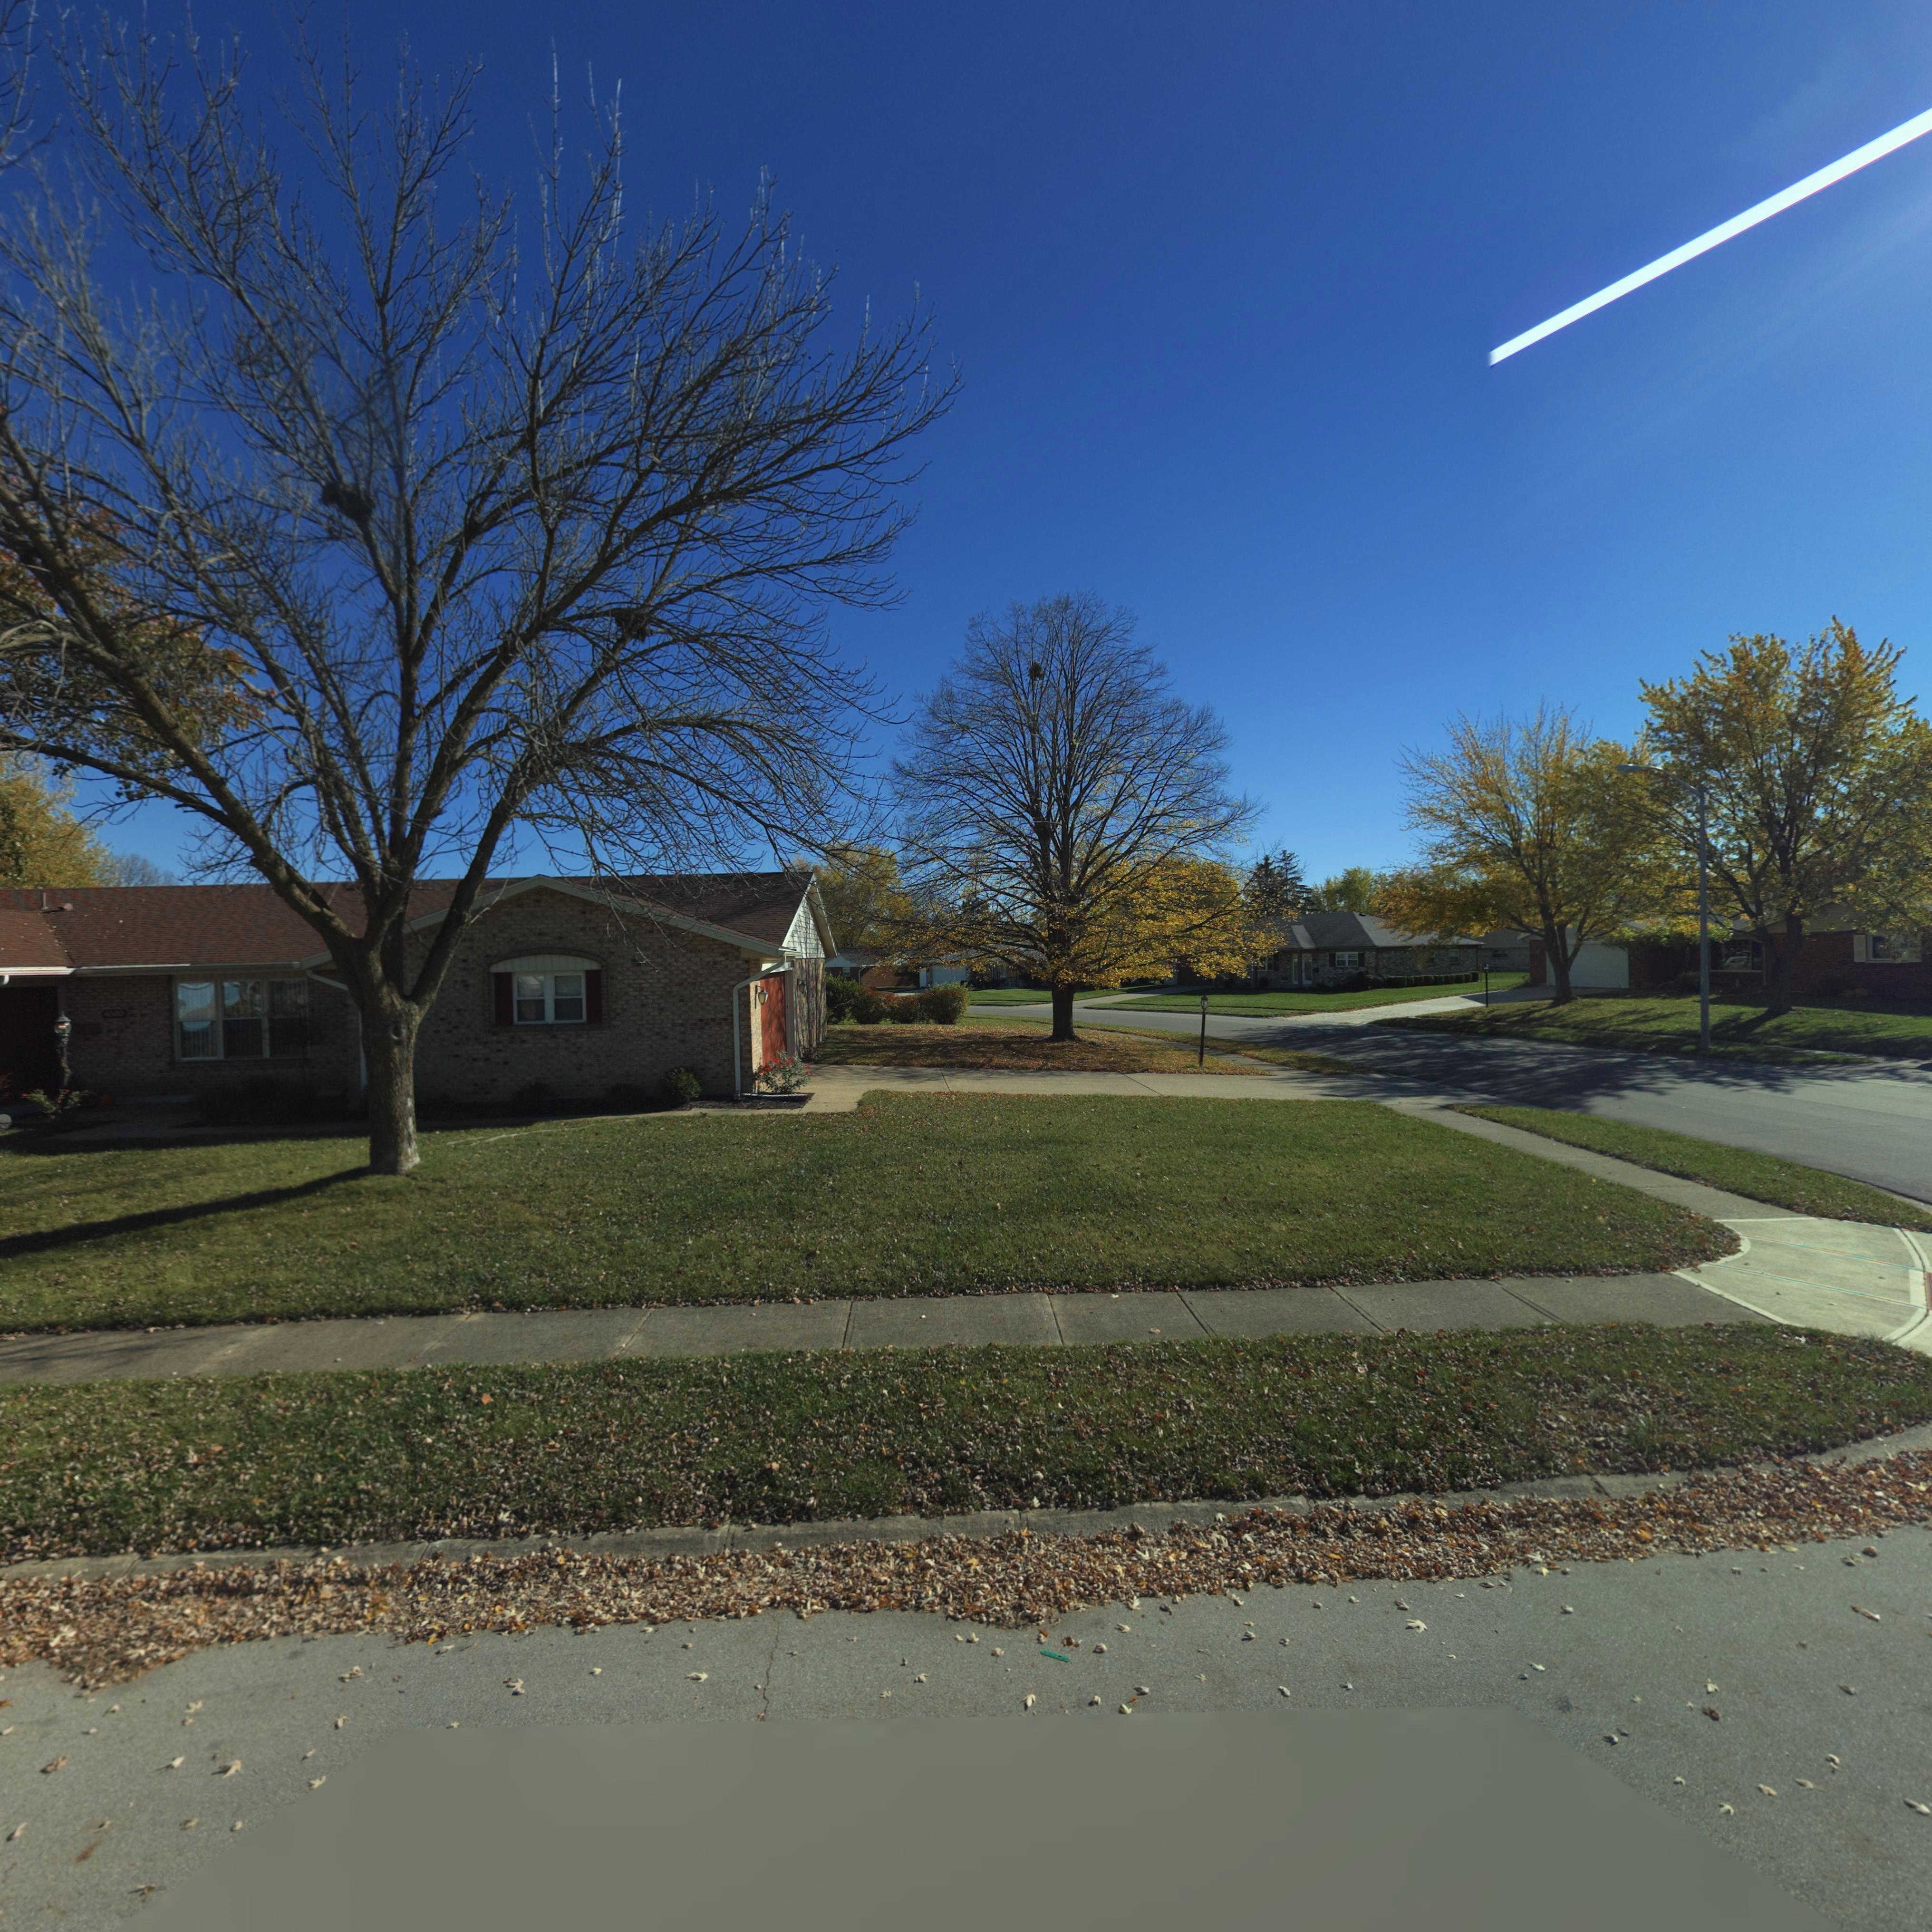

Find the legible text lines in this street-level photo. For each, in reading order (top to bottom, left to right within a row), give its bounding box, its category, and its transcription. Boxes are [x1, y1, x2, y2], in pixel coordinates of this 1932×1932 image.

[103, 1010, 125, 1018] StreetNumber: 4000